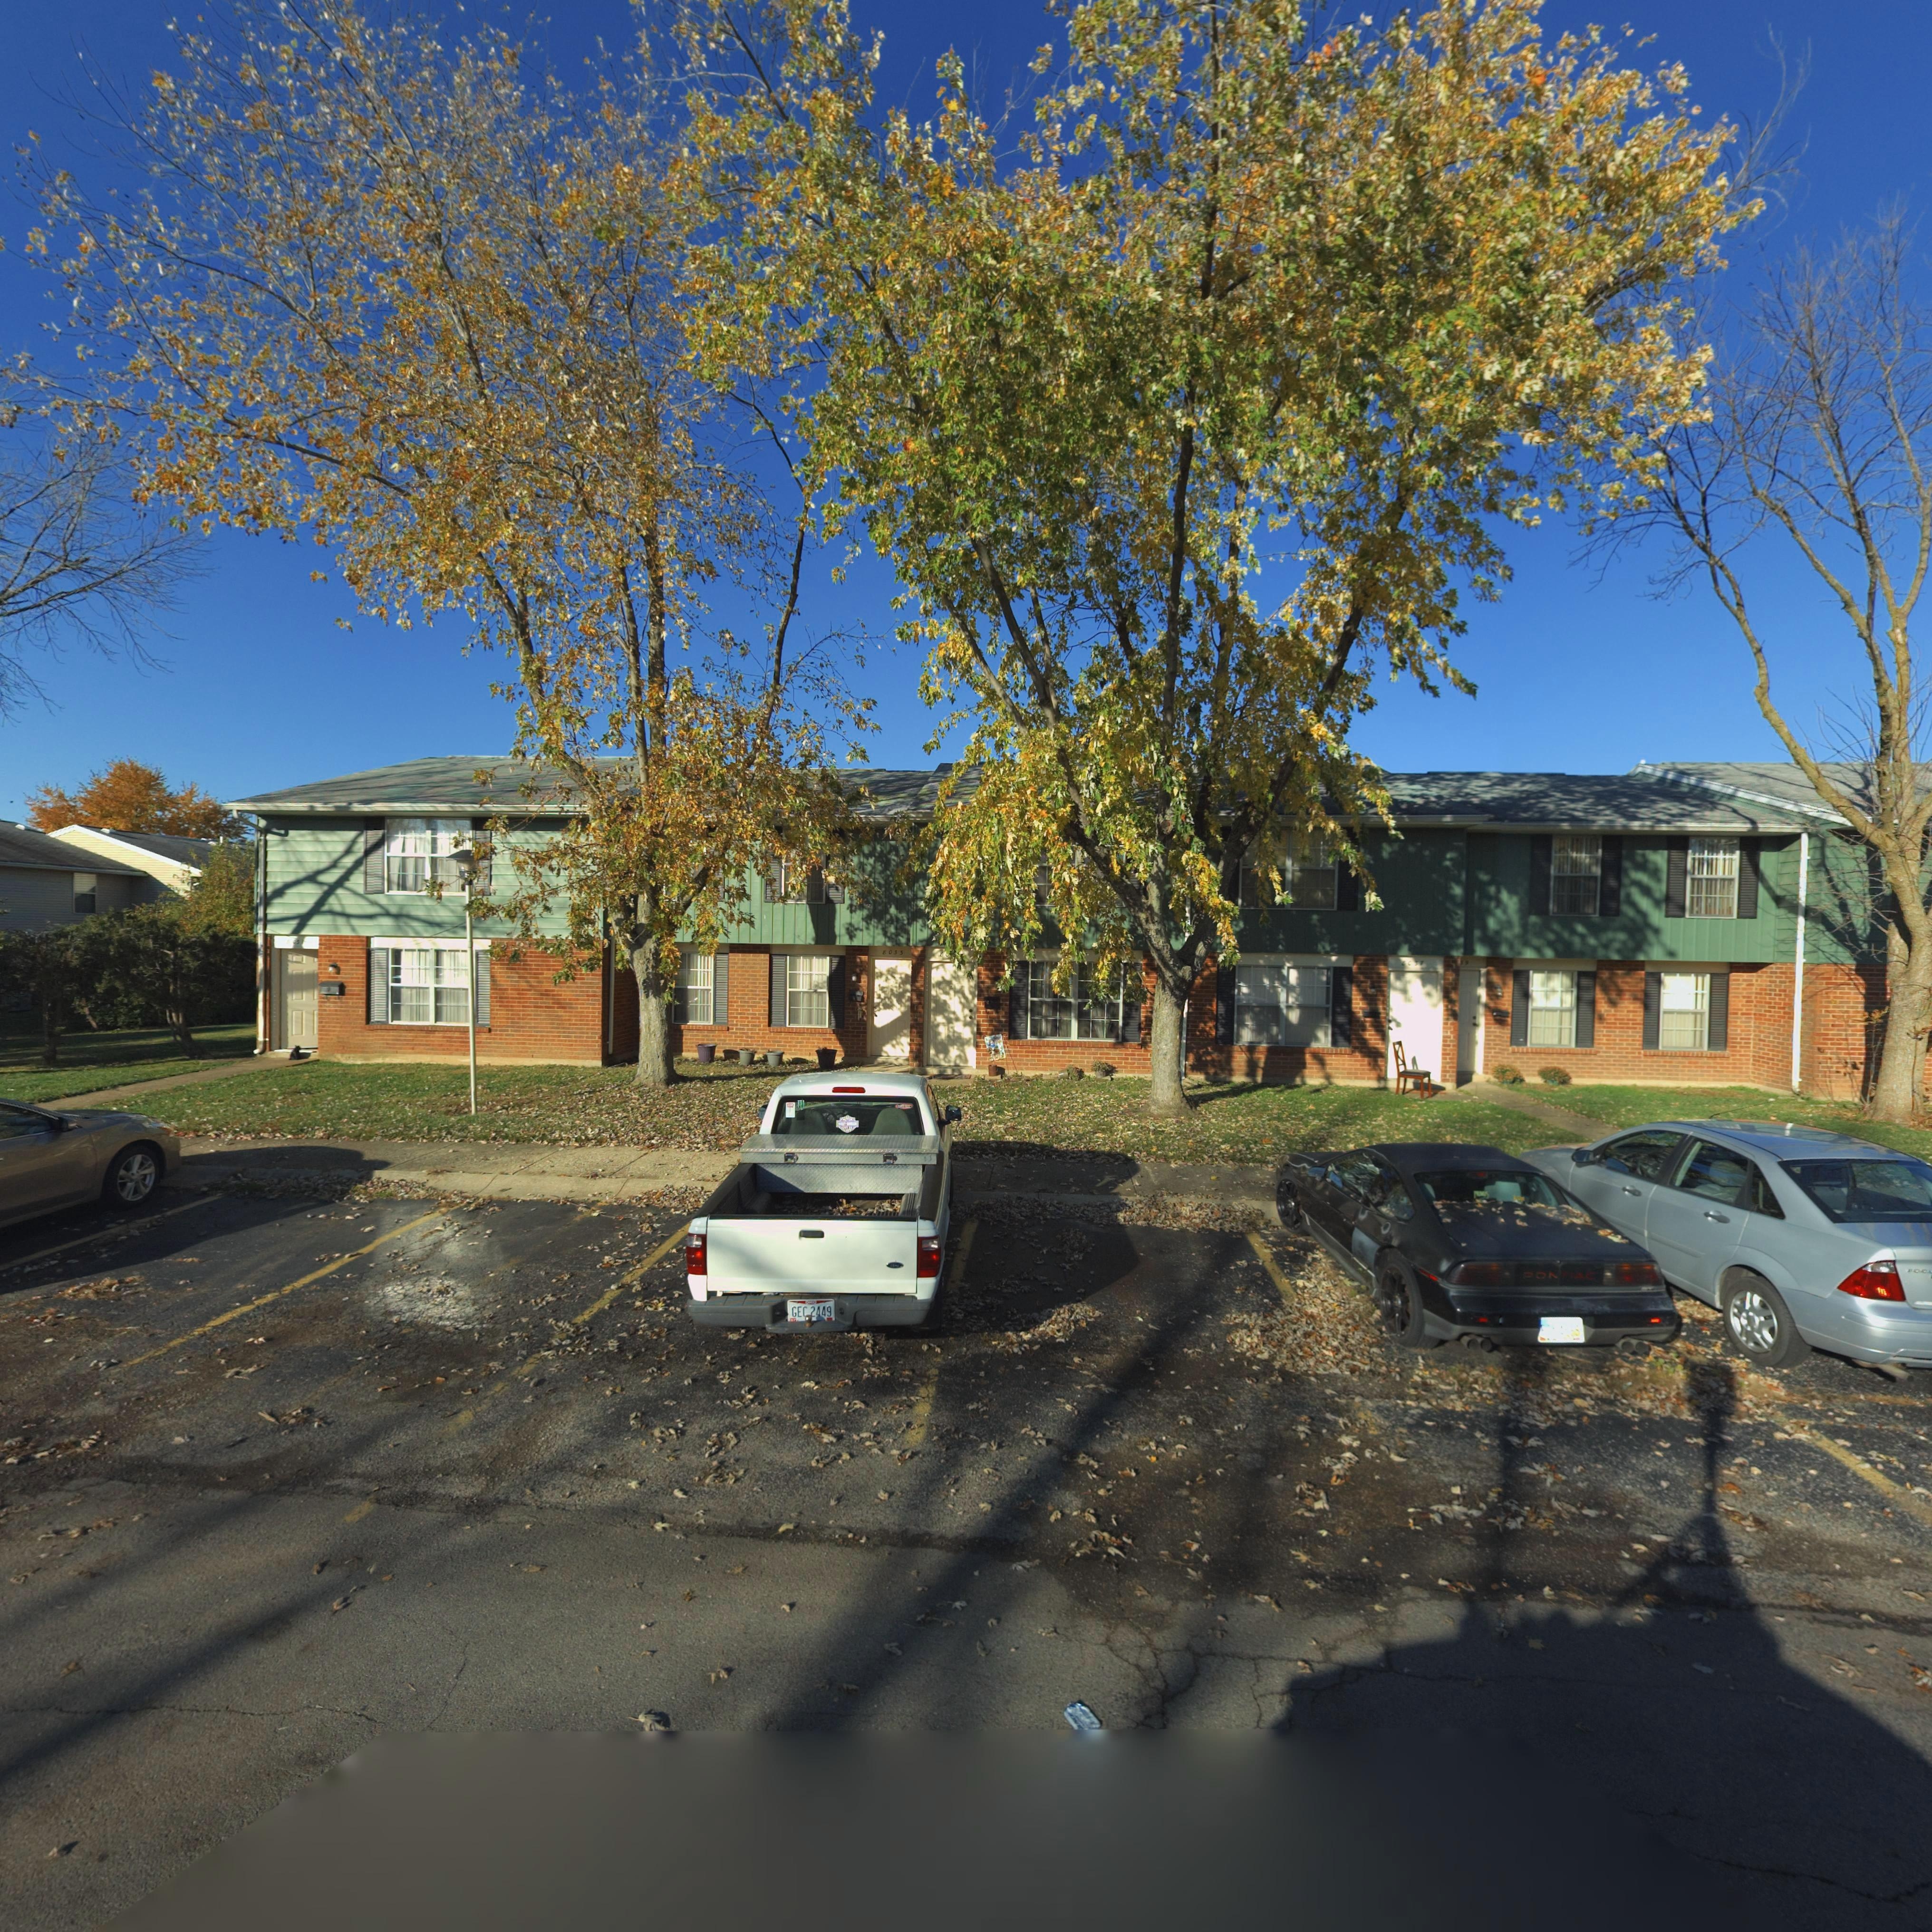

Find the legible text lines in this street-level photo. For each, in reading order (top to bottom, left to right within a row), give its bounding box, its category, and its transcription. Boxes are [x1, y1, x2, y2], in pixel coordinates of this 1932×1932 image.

[881, 949, 905, 956] StreetNumber: 80**
[938, 951, 950, 958] StreetNumber: 8*
[1400, 959, 1426, 968] StreetNumber: *0**
[789, 1303, 833, 1318] None: GEC 2449